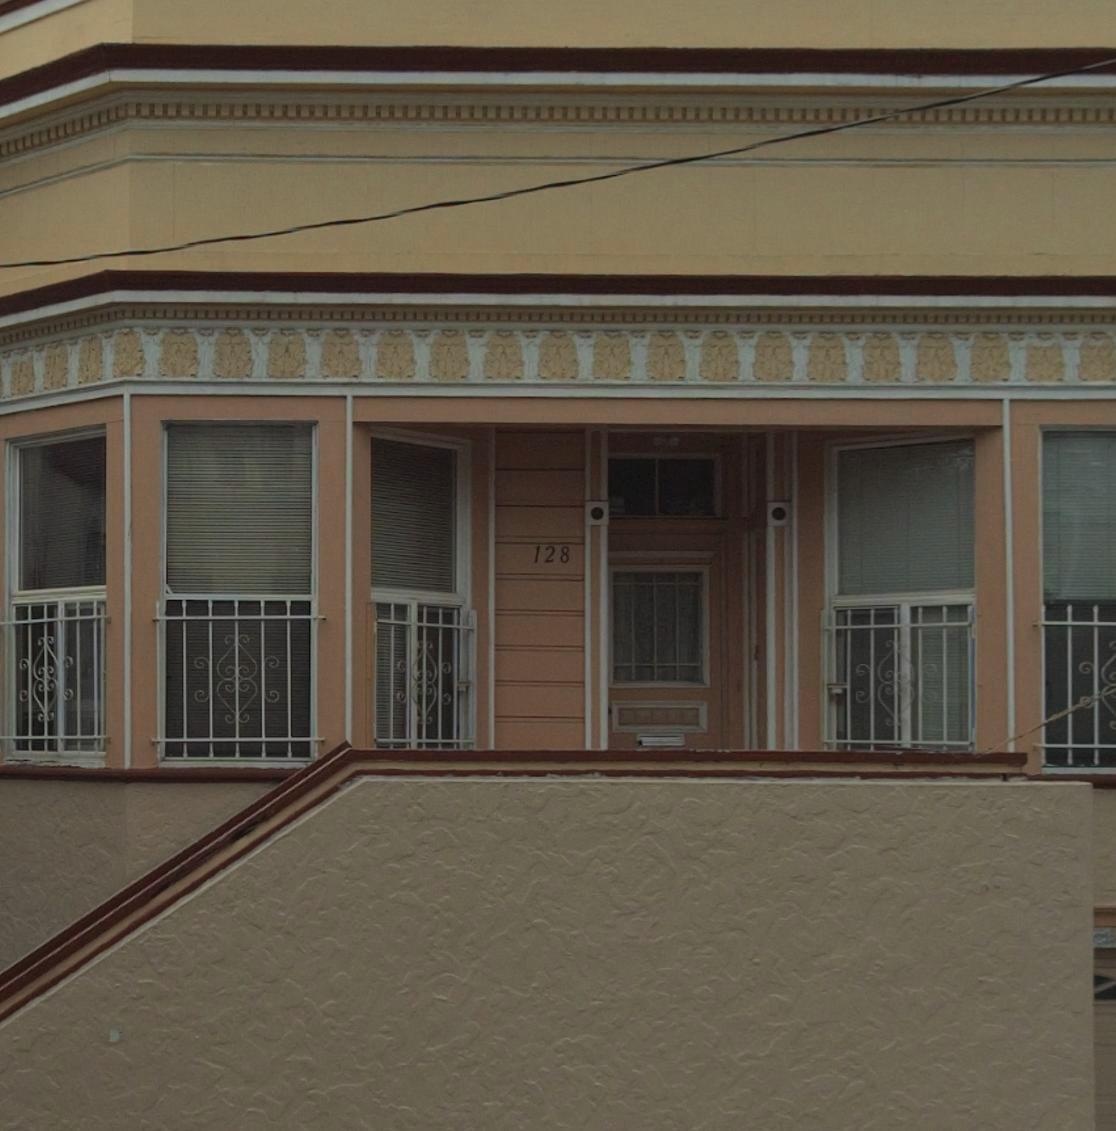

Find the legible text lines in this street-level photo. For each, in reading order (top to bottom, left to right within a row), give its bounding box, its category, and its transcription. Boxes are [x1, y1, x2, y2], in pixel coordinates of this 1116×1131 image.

[532, 544, 571, 564] StreetNumber: 128